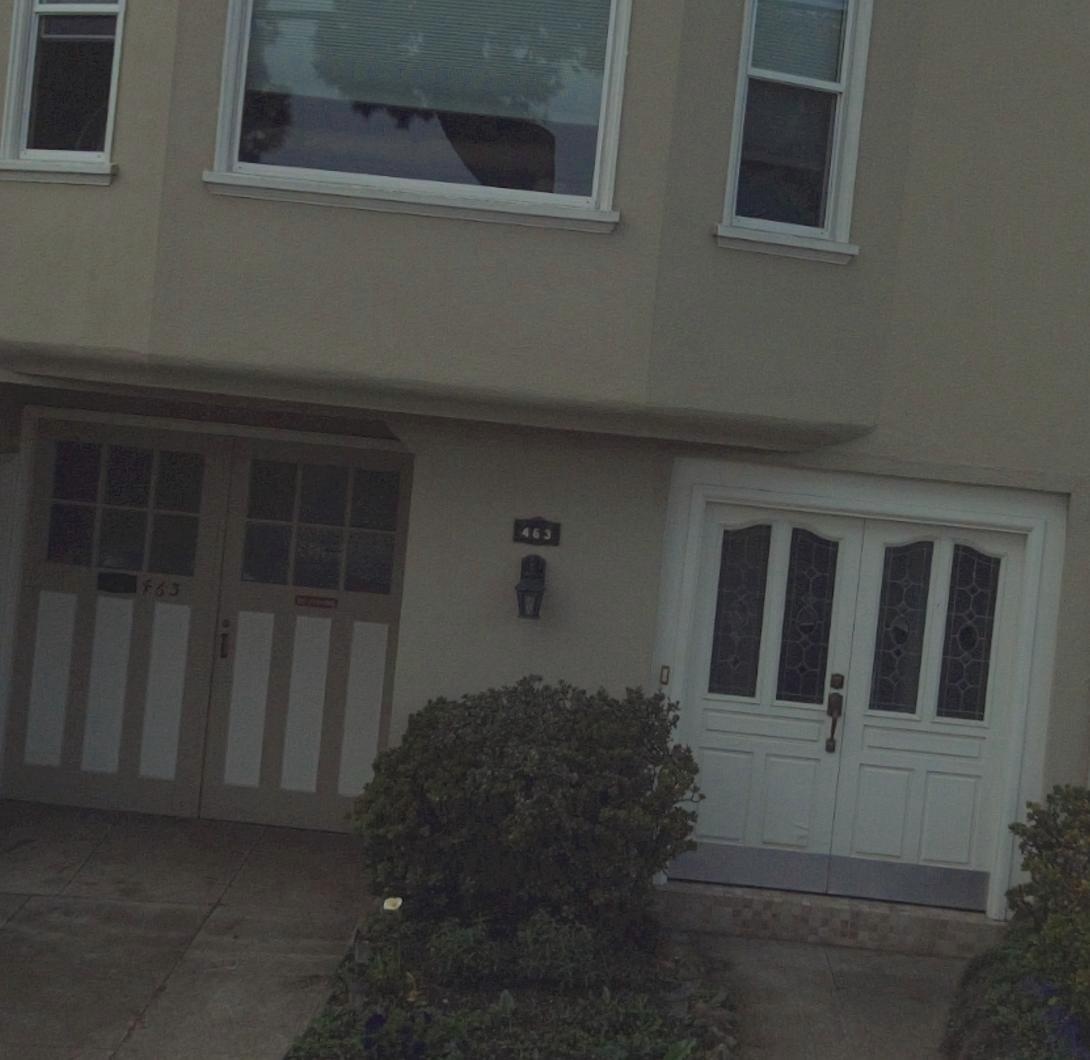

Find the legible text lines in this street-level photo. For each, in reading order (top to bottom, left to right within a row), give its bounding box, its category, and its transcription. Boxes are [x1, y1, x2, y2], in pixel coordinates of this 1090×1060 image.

[520, 525, 553, 541] StreetNumber: 463
[141, 575, 184, 599] StreetNumber: 463